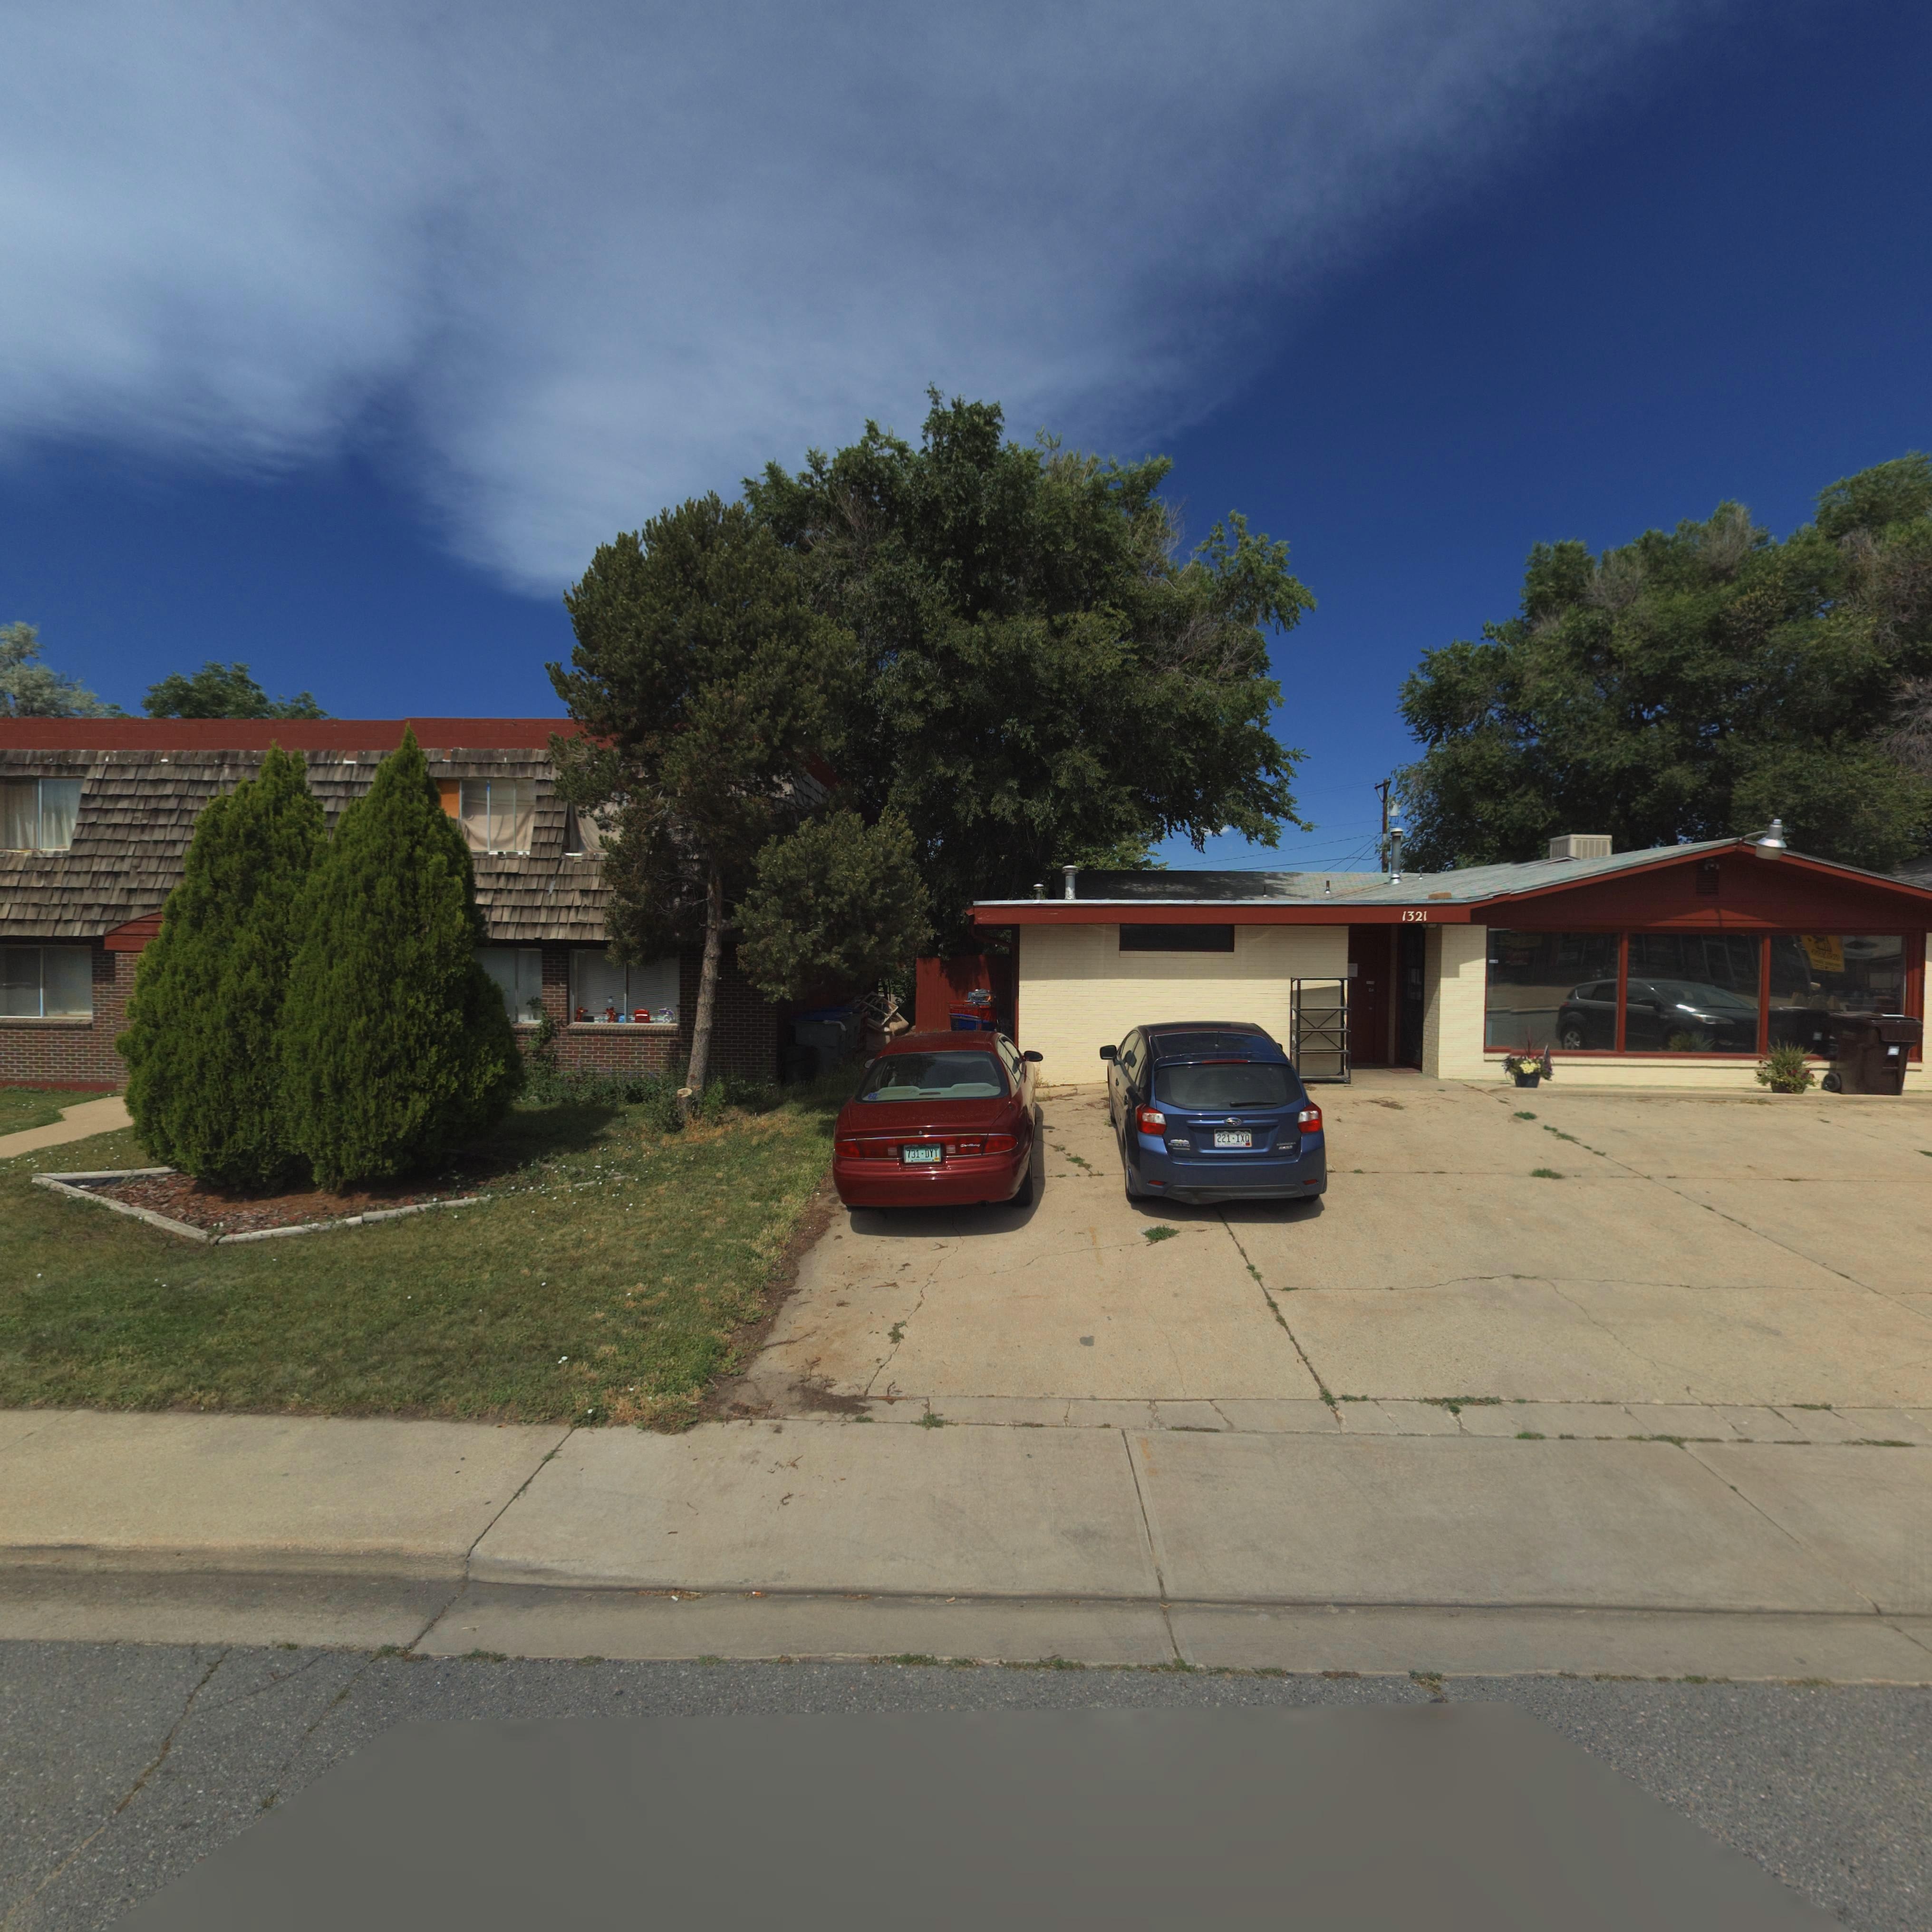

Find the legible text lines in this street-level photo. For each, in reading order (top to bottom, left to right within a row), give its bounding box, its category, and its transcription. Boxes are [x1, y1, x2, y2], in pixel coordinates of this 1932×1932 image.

[1401, 910, 1428, 922] StreetNumber: 1321